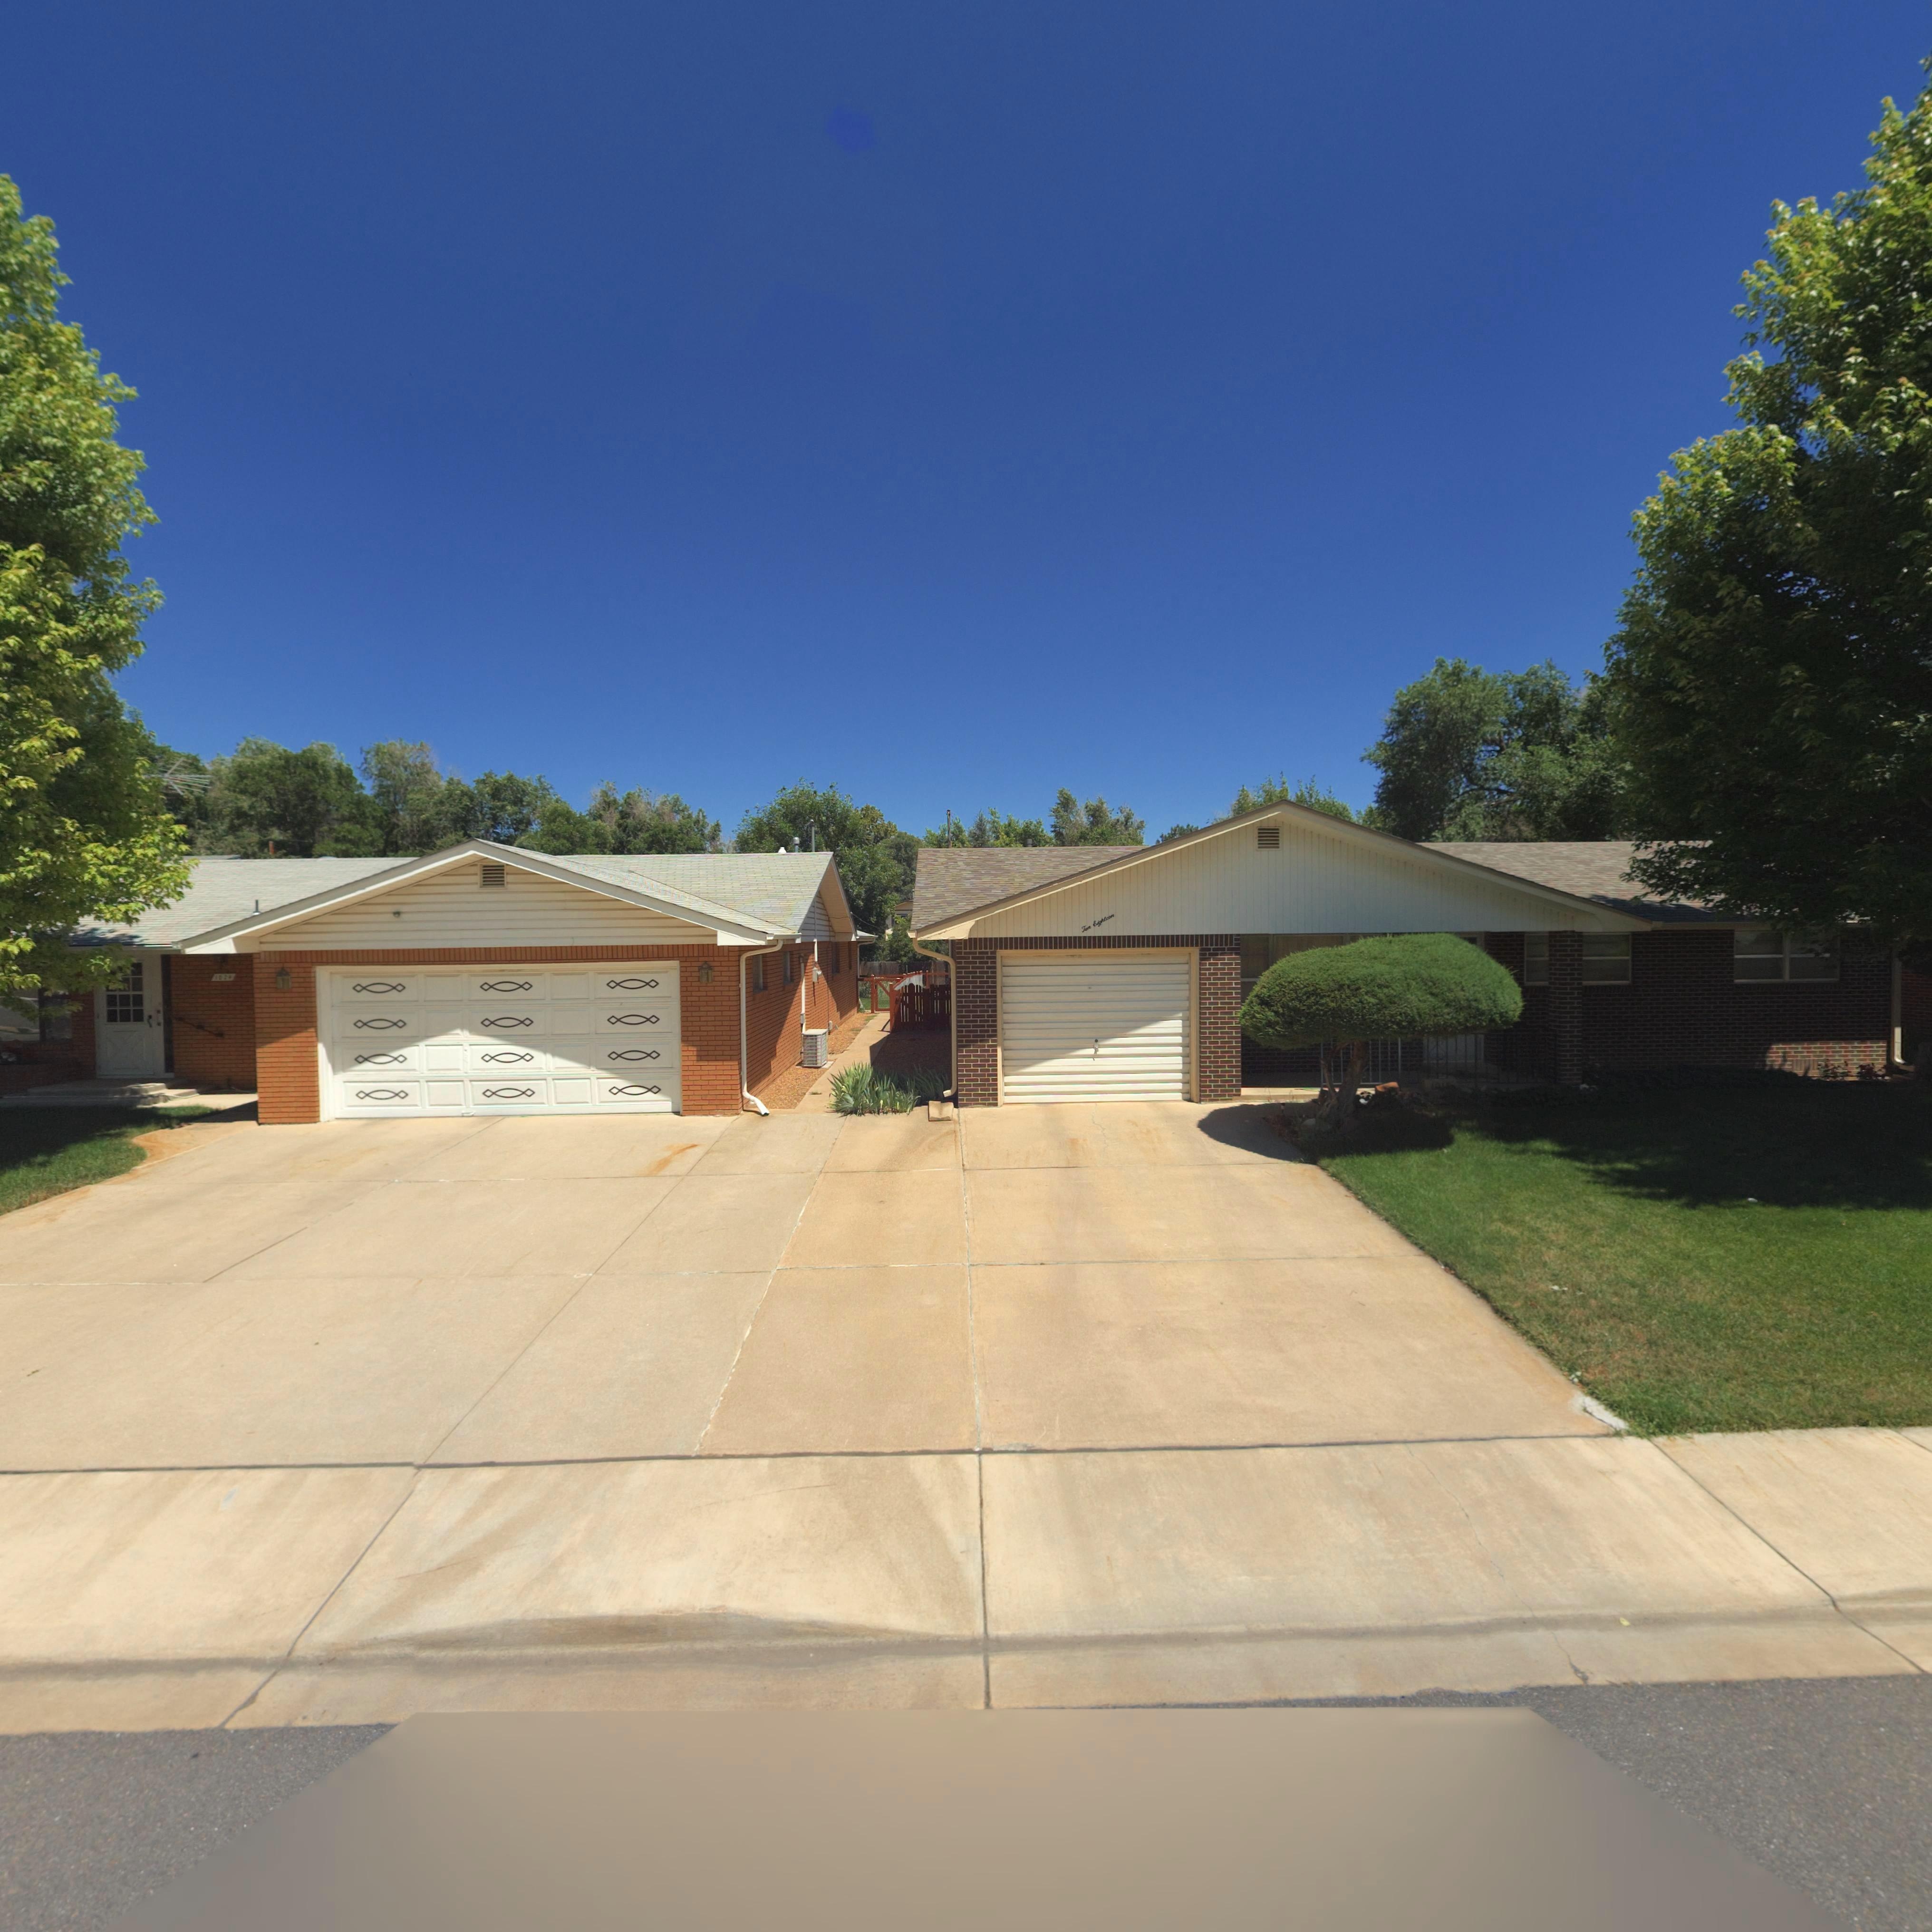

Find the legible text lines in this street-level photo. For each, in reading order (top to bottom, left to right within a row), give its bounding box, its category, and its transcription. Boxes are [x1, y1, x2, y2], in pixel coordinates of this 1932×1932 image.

[1082, 913, 1114, 932] StreetNumber: T*n Eighteen
[215, 974, 232, 980] StreetNumber: 1024